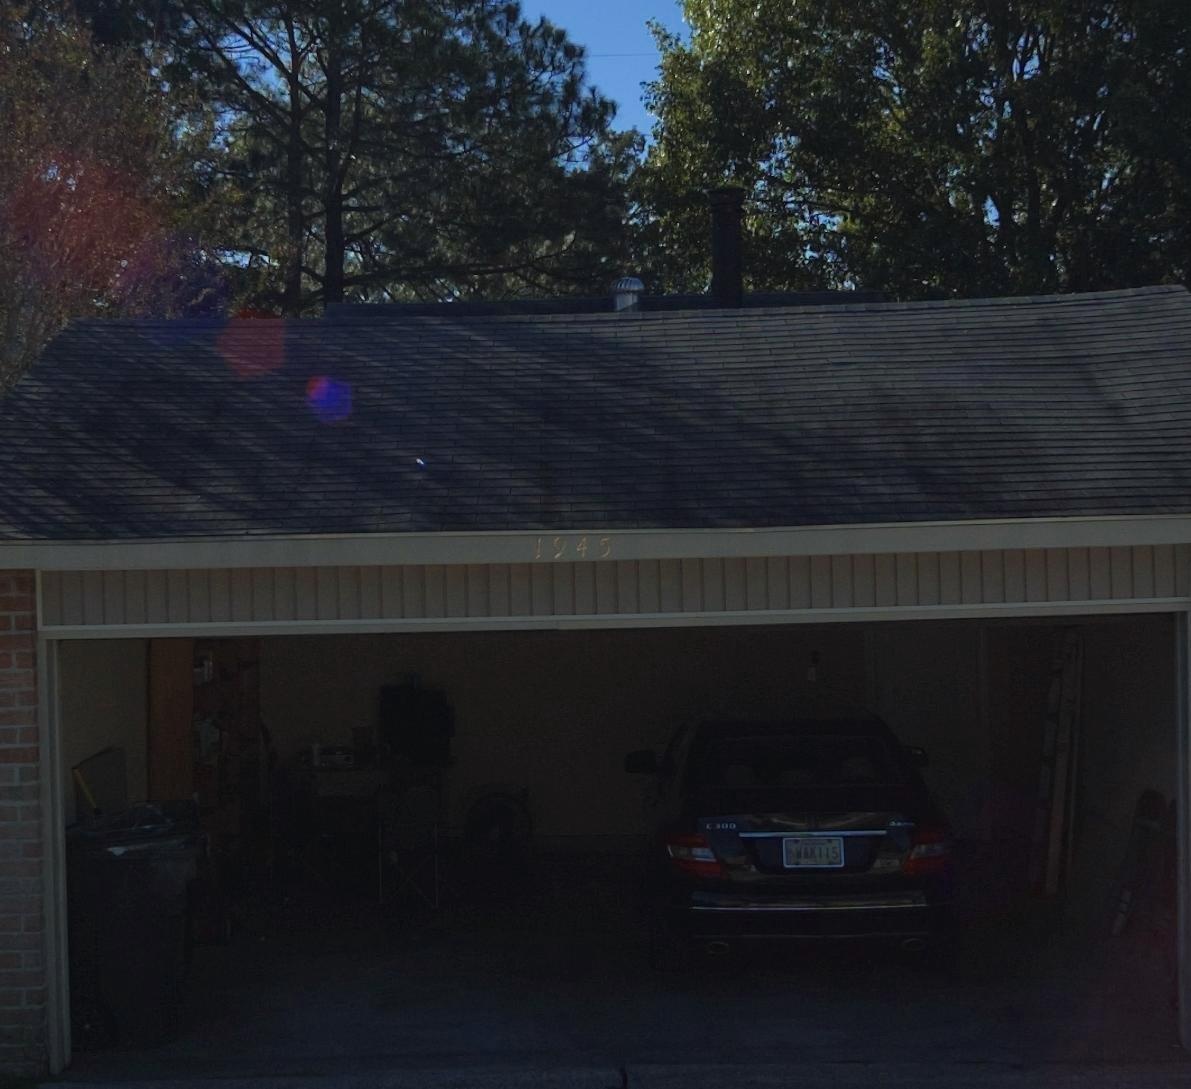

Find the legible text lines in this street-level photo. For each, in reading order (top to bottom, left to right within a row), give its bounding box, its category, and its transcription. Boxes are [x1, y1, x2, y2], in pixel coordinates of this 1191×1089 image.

[533, 534, 613, 561] StreetNumber: 1945
[704, 820, 738, 831] None: C 300
[793, 844, 842, 862] None: WAX115